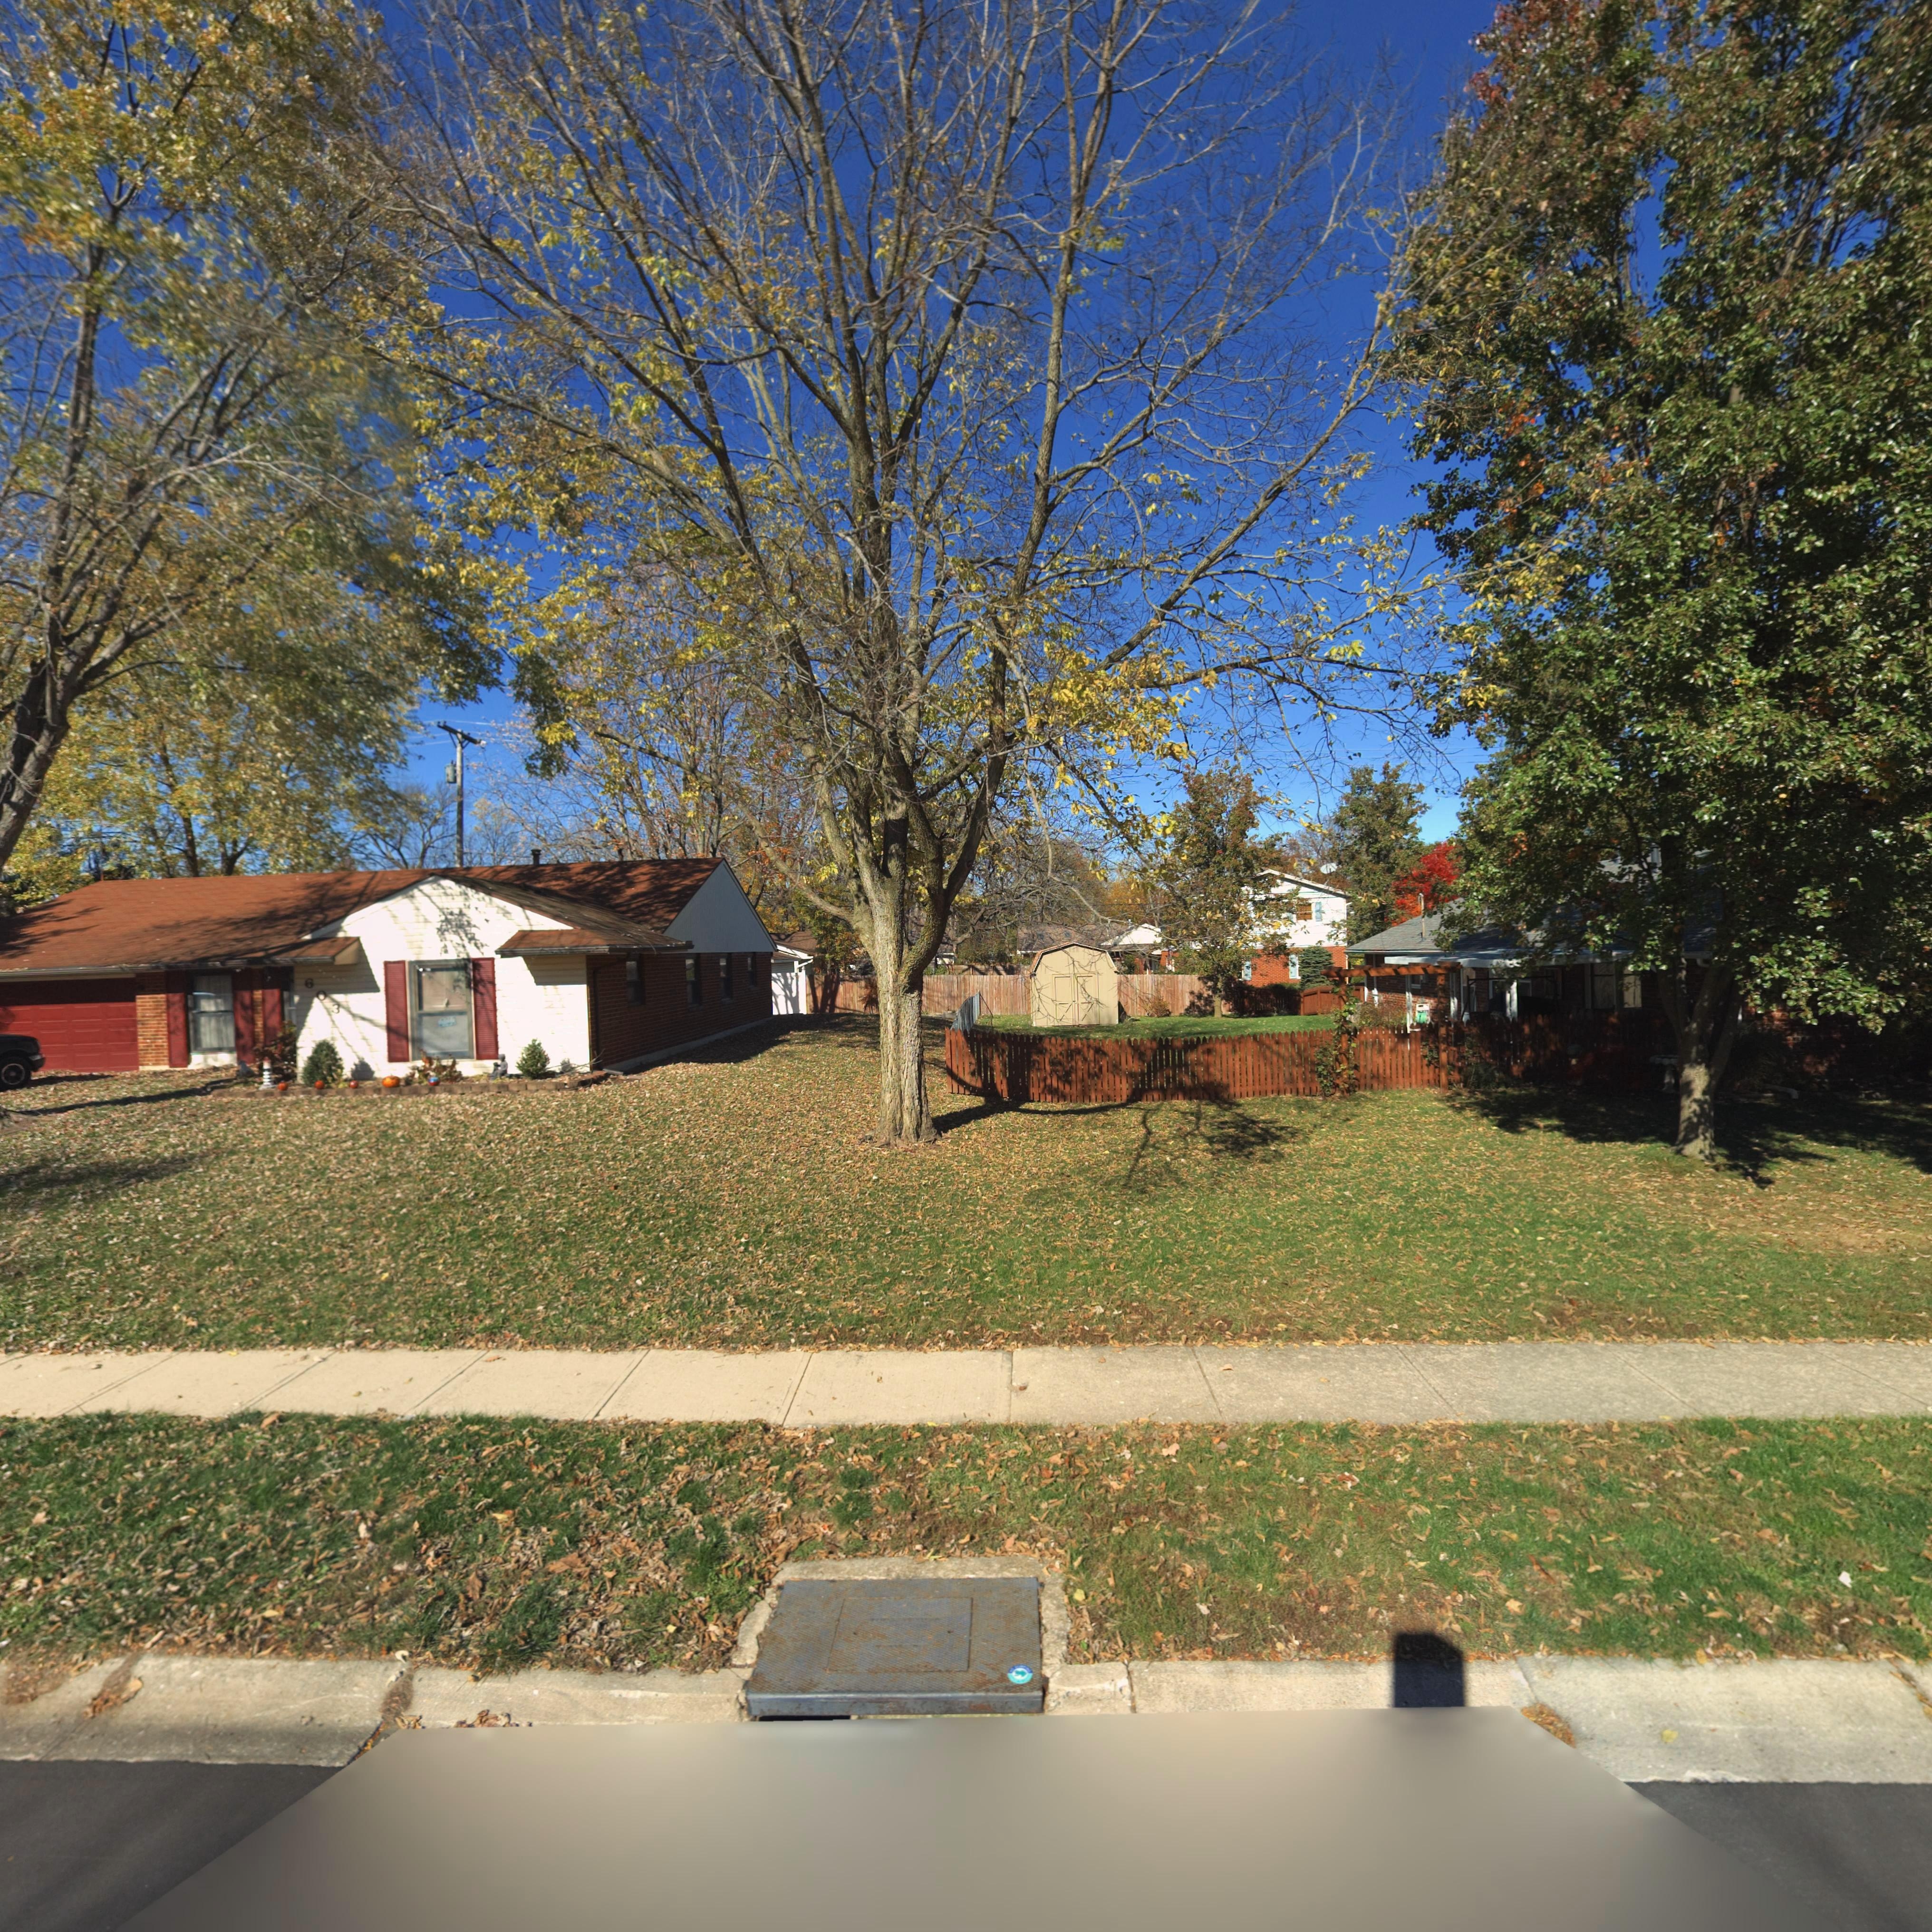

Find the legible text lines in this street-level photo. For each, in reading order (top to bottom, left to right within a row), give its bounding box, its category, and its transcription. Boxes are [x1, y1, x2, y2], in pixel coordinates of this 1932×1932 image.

[304, 976, 341, 1014] StreetNumber: 603